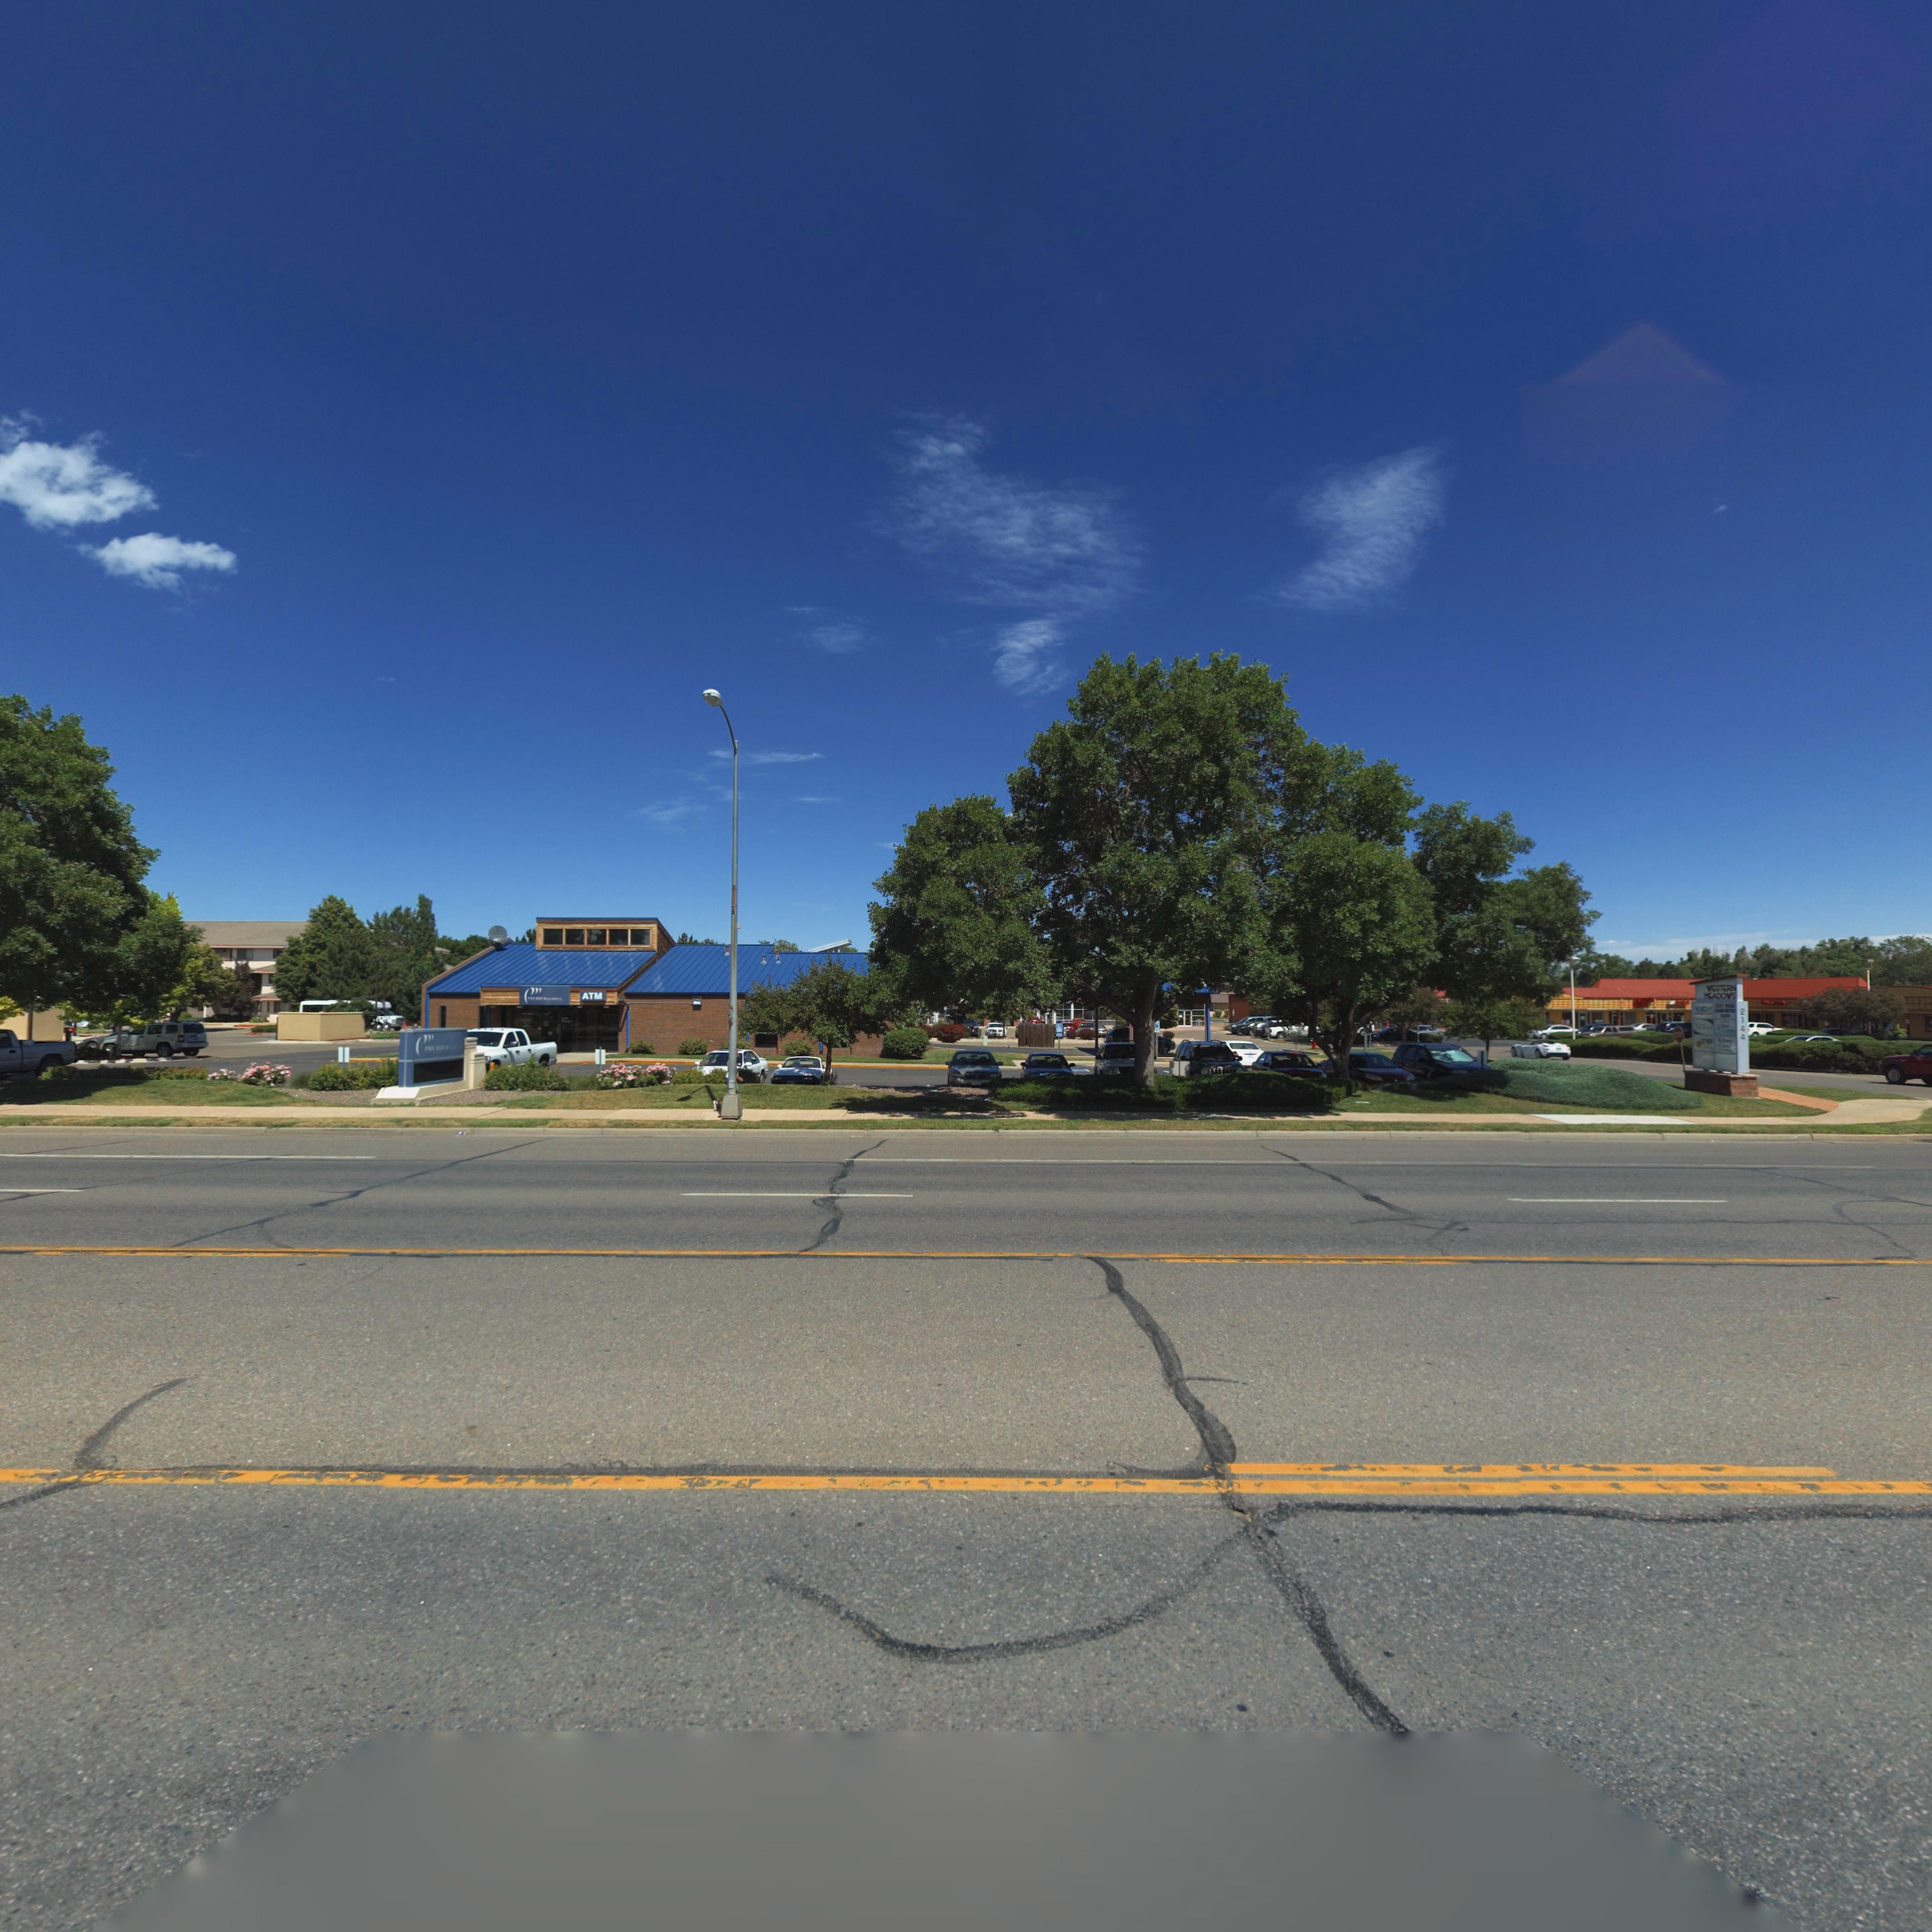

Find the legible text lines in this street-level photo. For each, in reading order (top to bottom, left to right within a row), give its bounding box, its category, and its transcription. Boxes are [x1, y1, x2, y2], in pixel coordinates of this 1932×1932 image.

[1739, 1007, 1746, 1042] StreetNumber: 2144